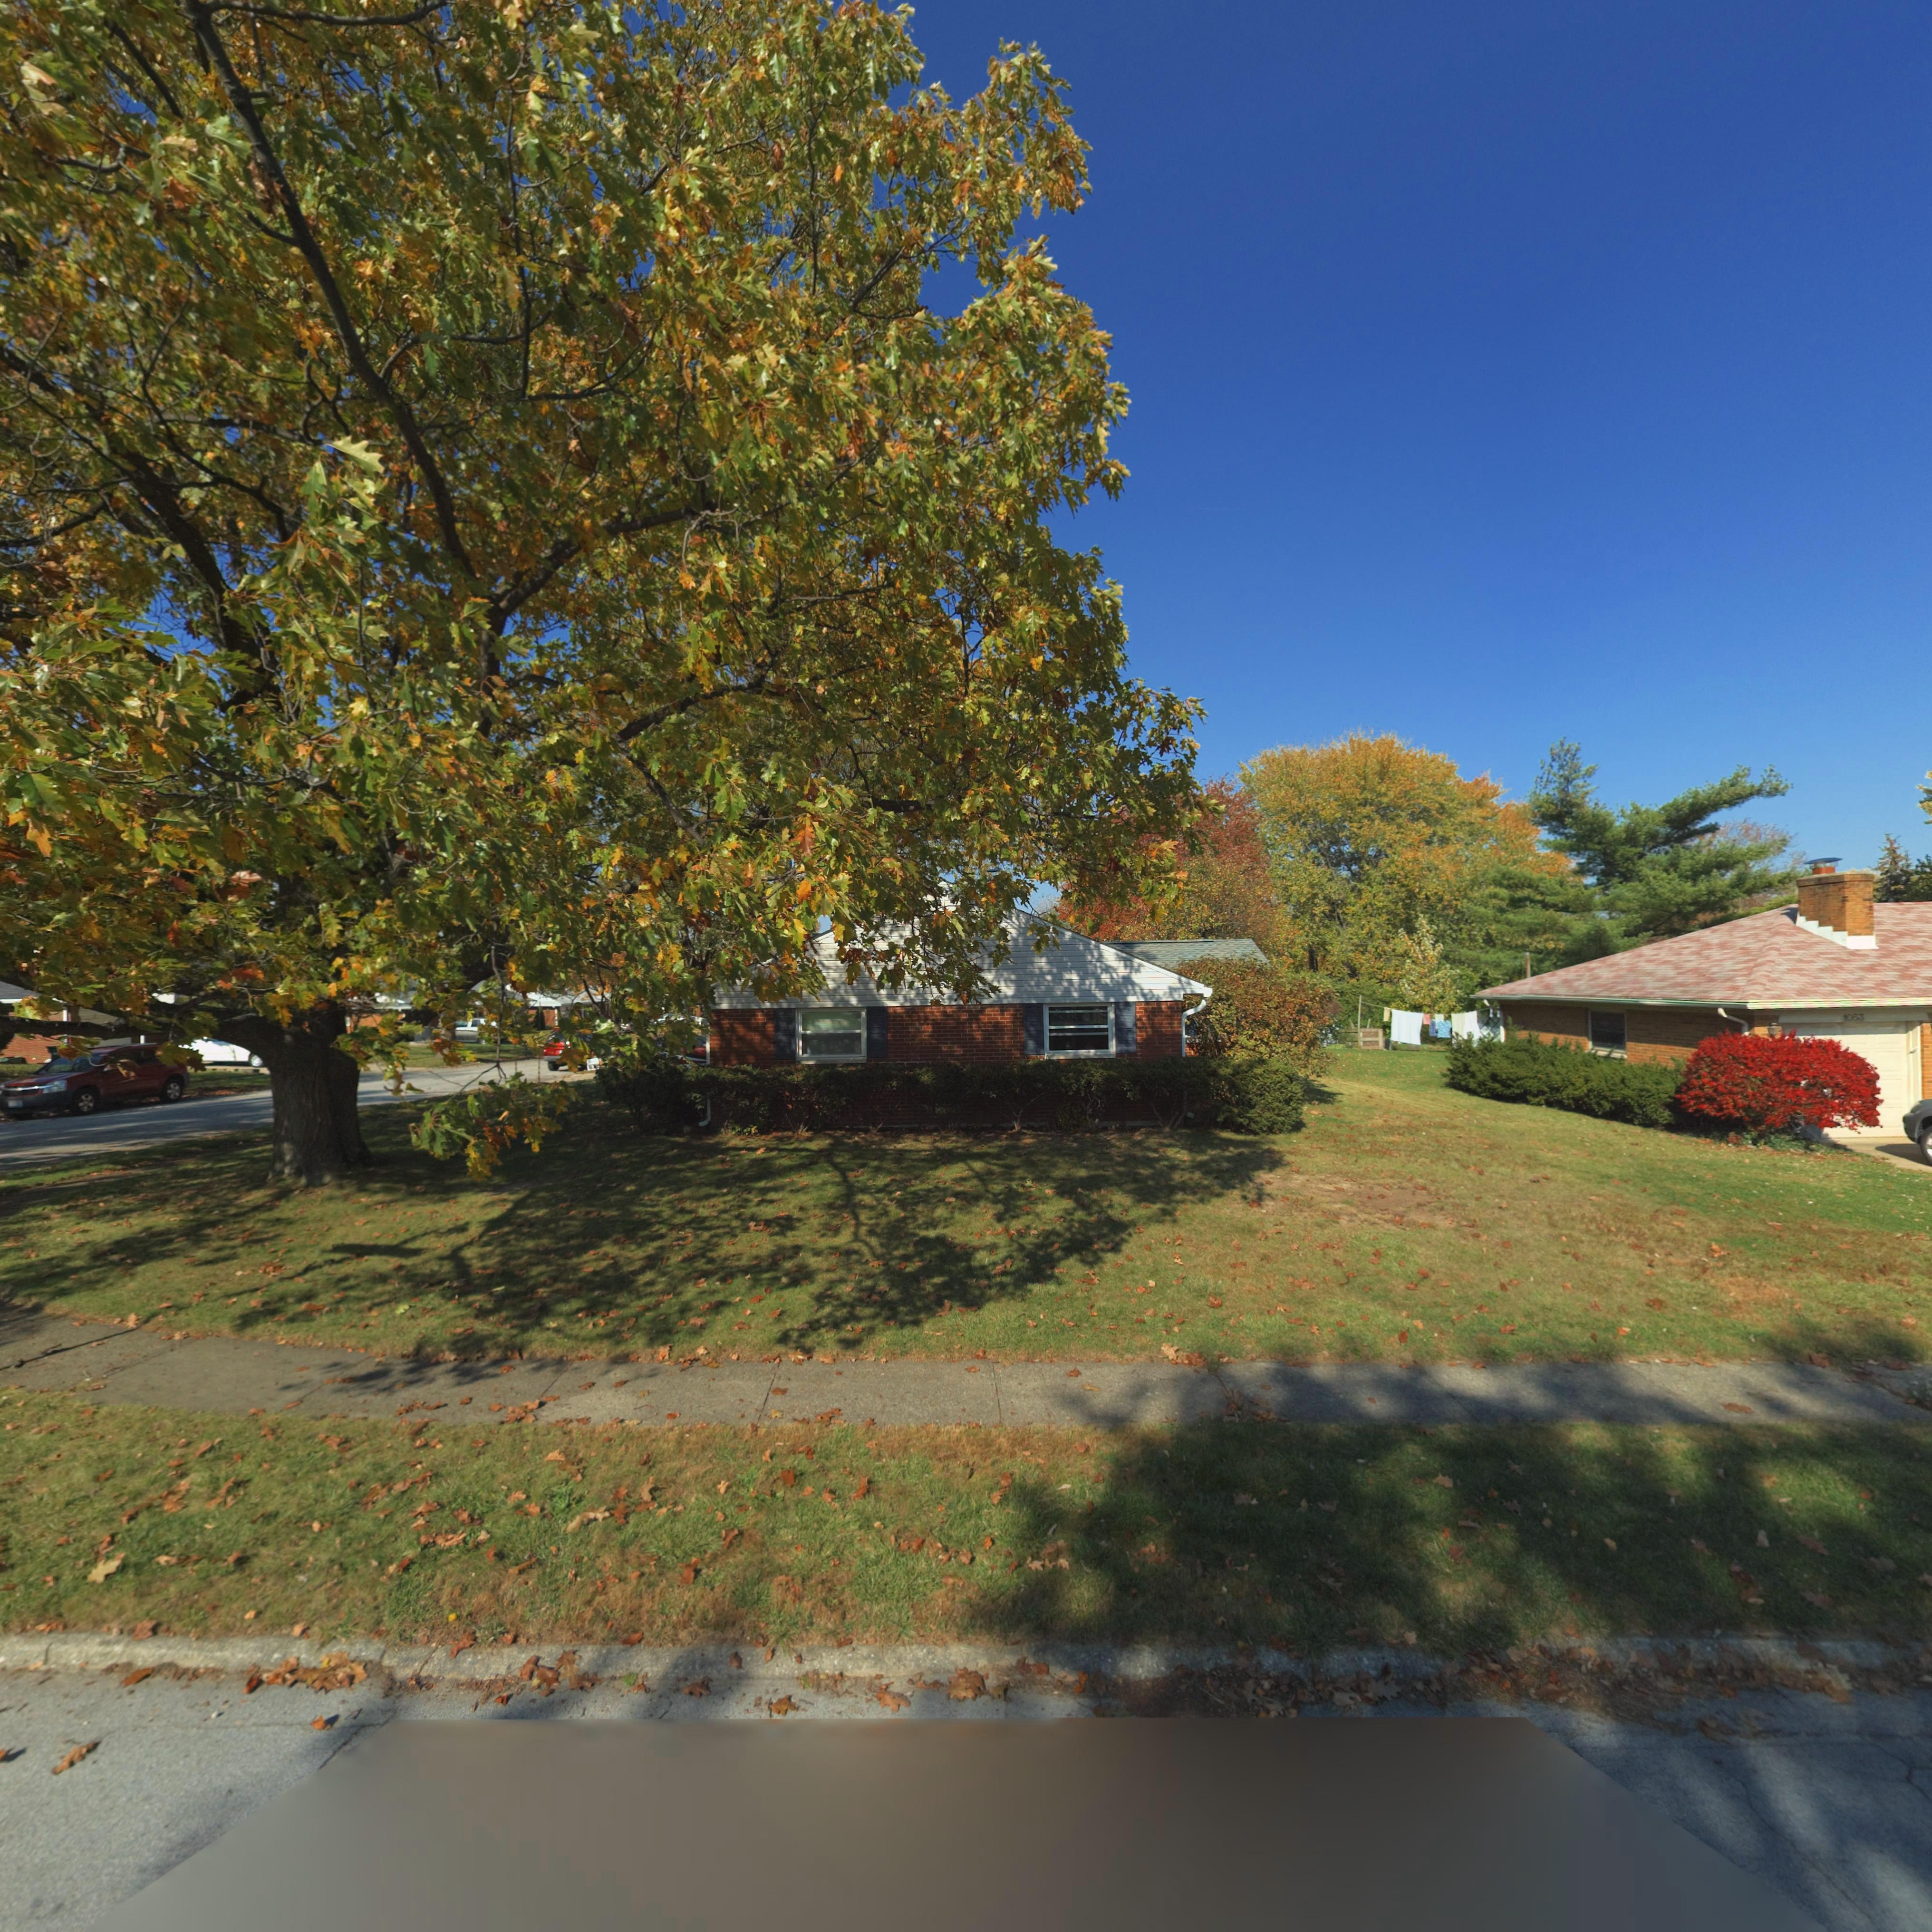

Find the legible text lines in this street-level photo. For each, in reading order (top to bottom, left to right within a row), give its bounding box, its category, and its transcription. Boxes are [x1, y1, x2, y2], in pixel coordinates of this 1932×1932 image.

[1843, 1013, 1865, 1022] StreetNumber: 1053